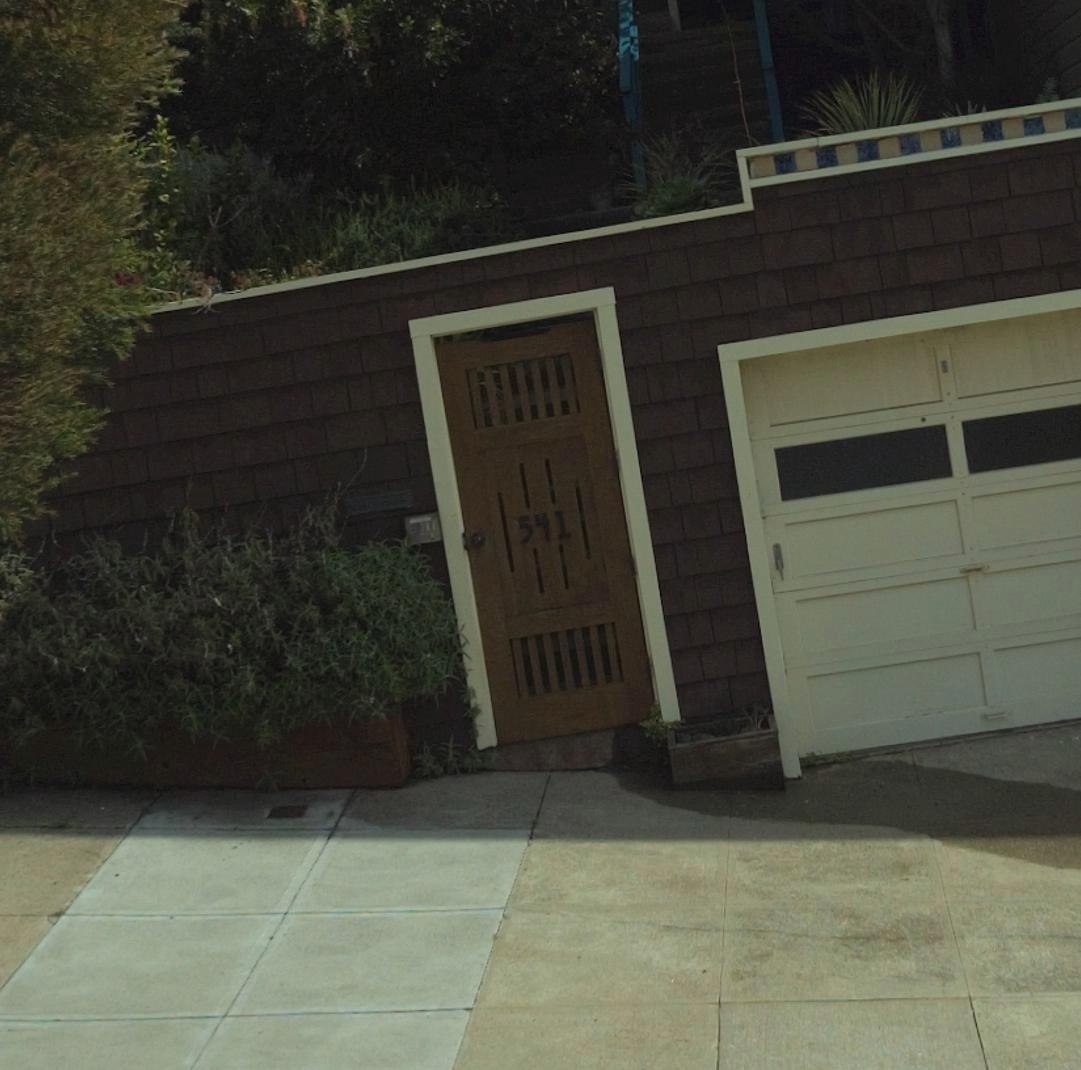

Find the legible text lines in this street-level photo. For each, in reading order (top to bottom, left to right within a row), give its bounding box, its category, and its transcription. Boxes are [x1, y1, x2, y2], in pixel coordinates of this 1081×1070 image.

[514, 508, 575, 550] StreetNumber: 541